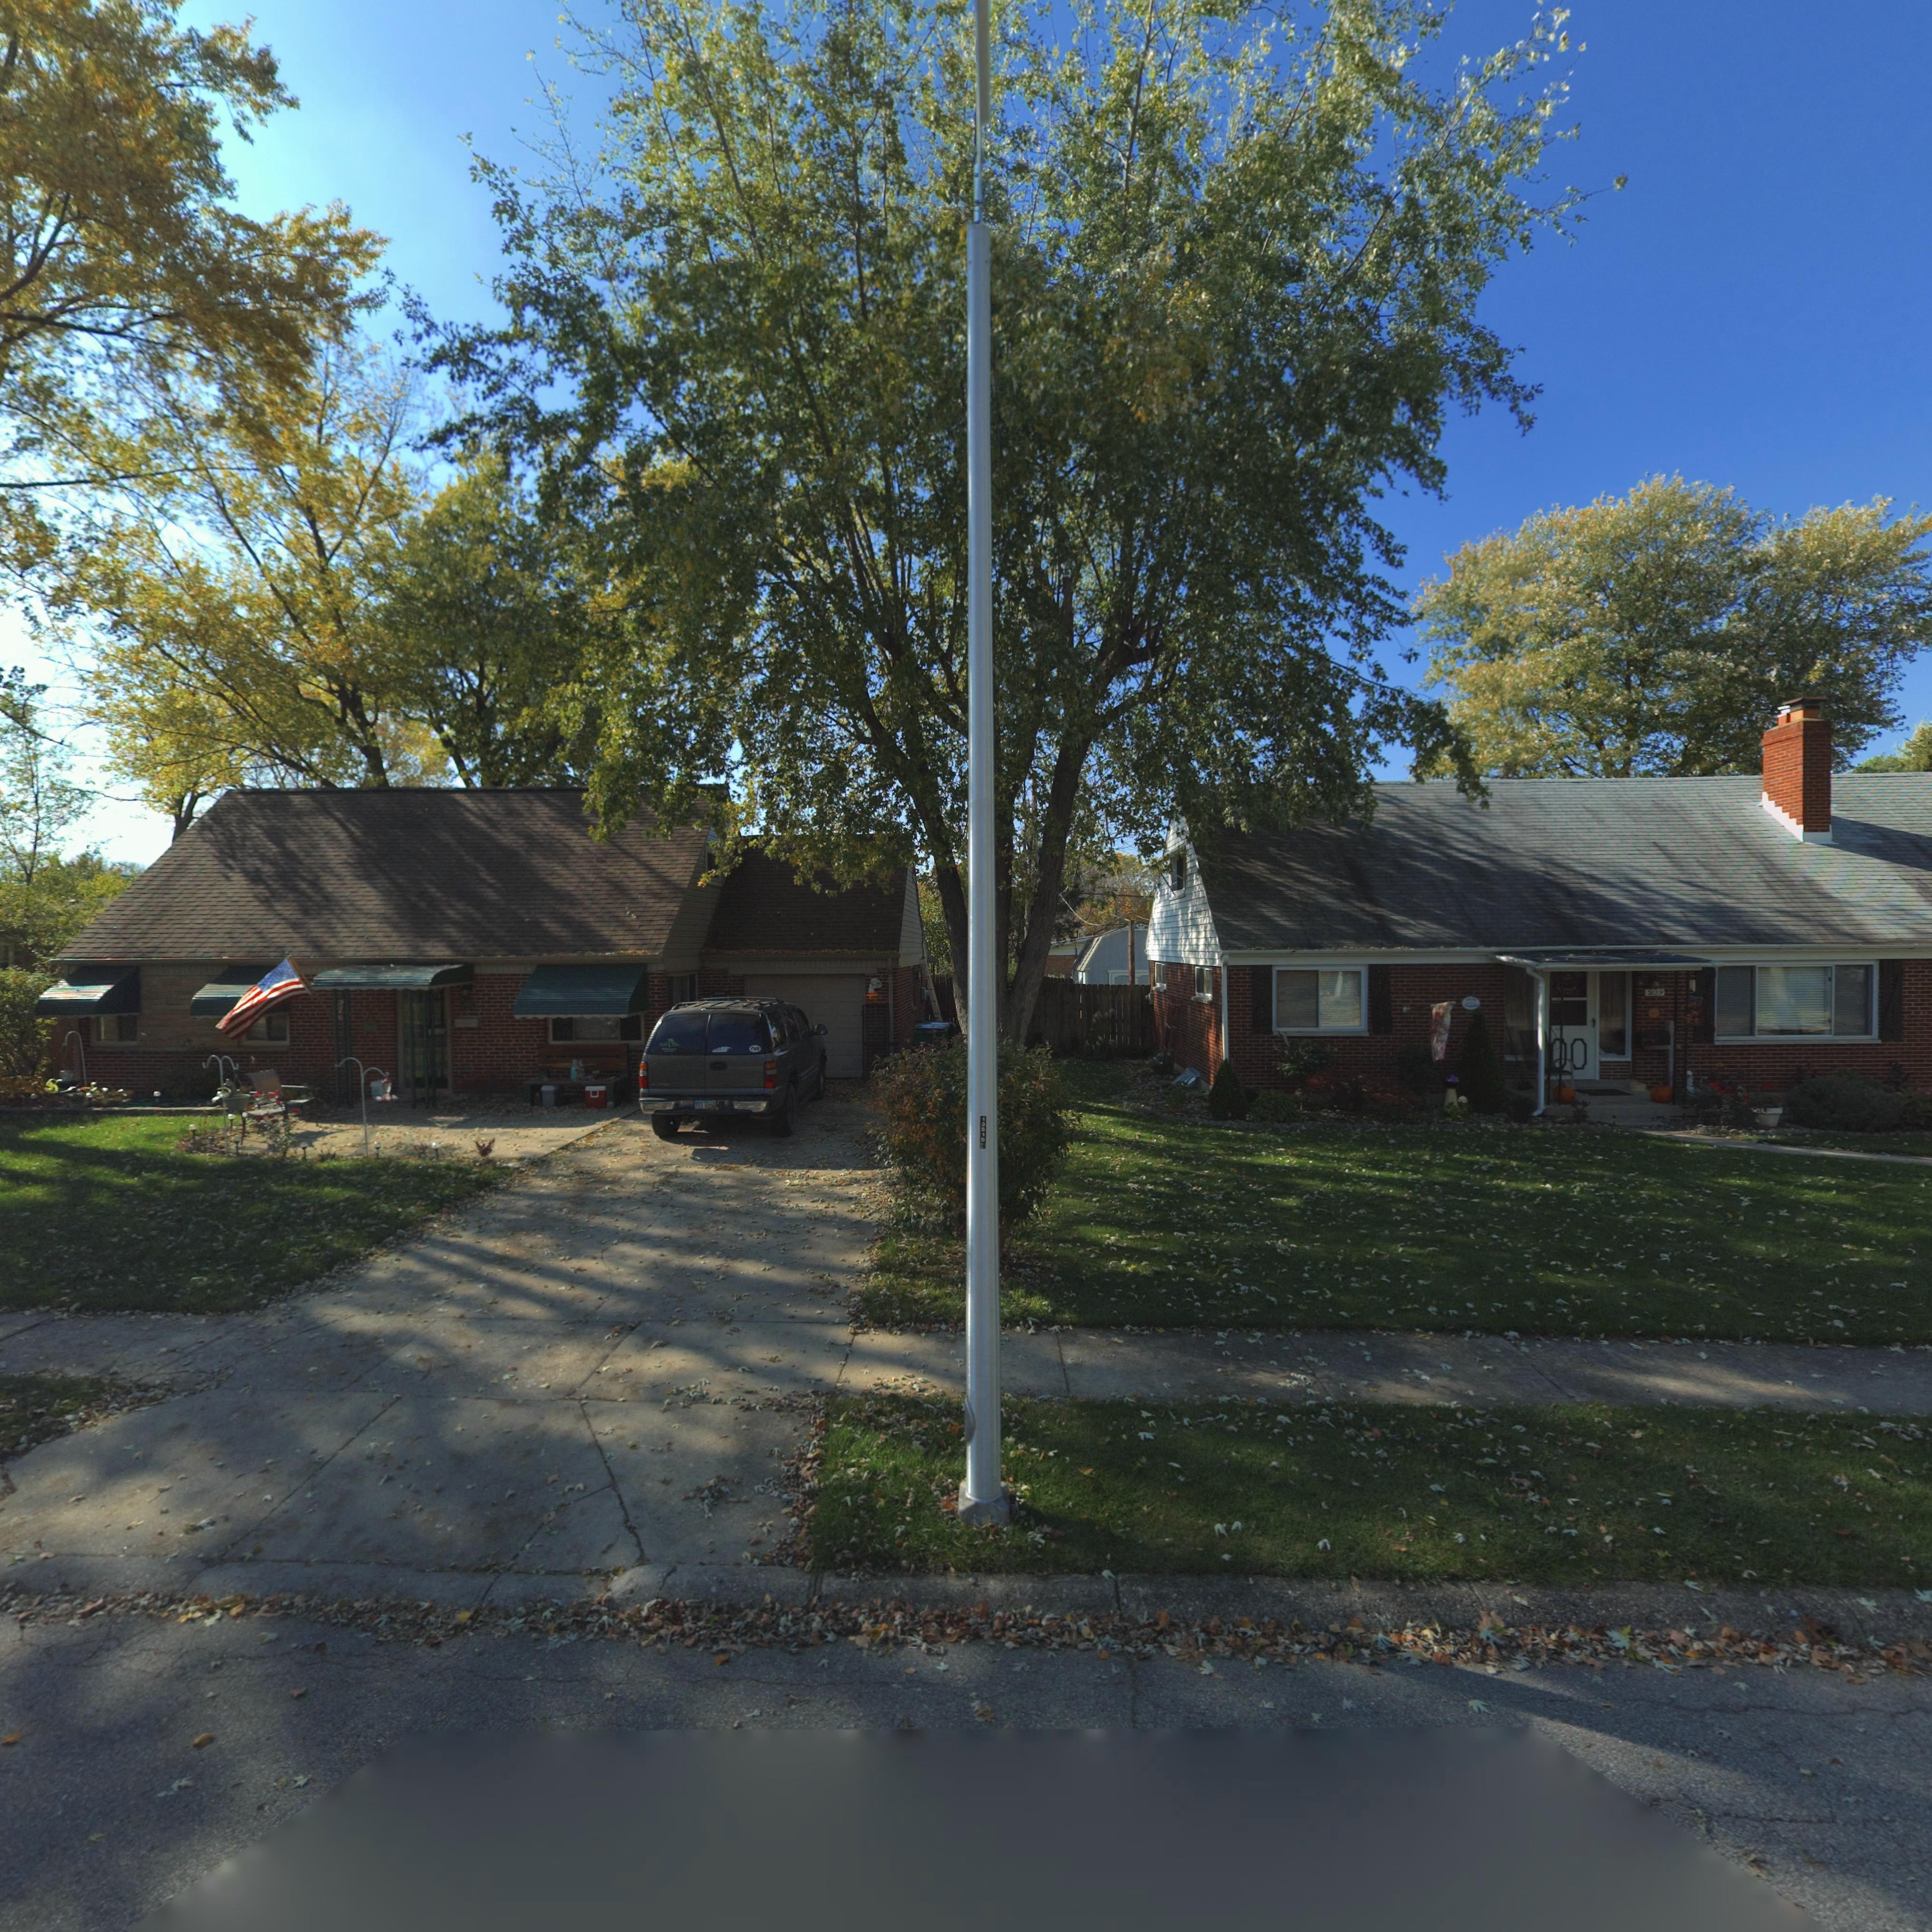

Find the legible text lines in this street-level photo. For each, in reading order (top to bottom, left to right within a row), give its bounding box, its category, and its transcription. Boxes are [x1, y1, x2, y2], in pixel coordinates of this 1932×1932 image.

[1646, 989, 1664, 995] StreetNumber: 3889
[750, 1046, 760, 1052] None: FMB
[695, 1101, 715, 1108] None: FEE*655*
[980, 1116, 986, 1142] None: 13519